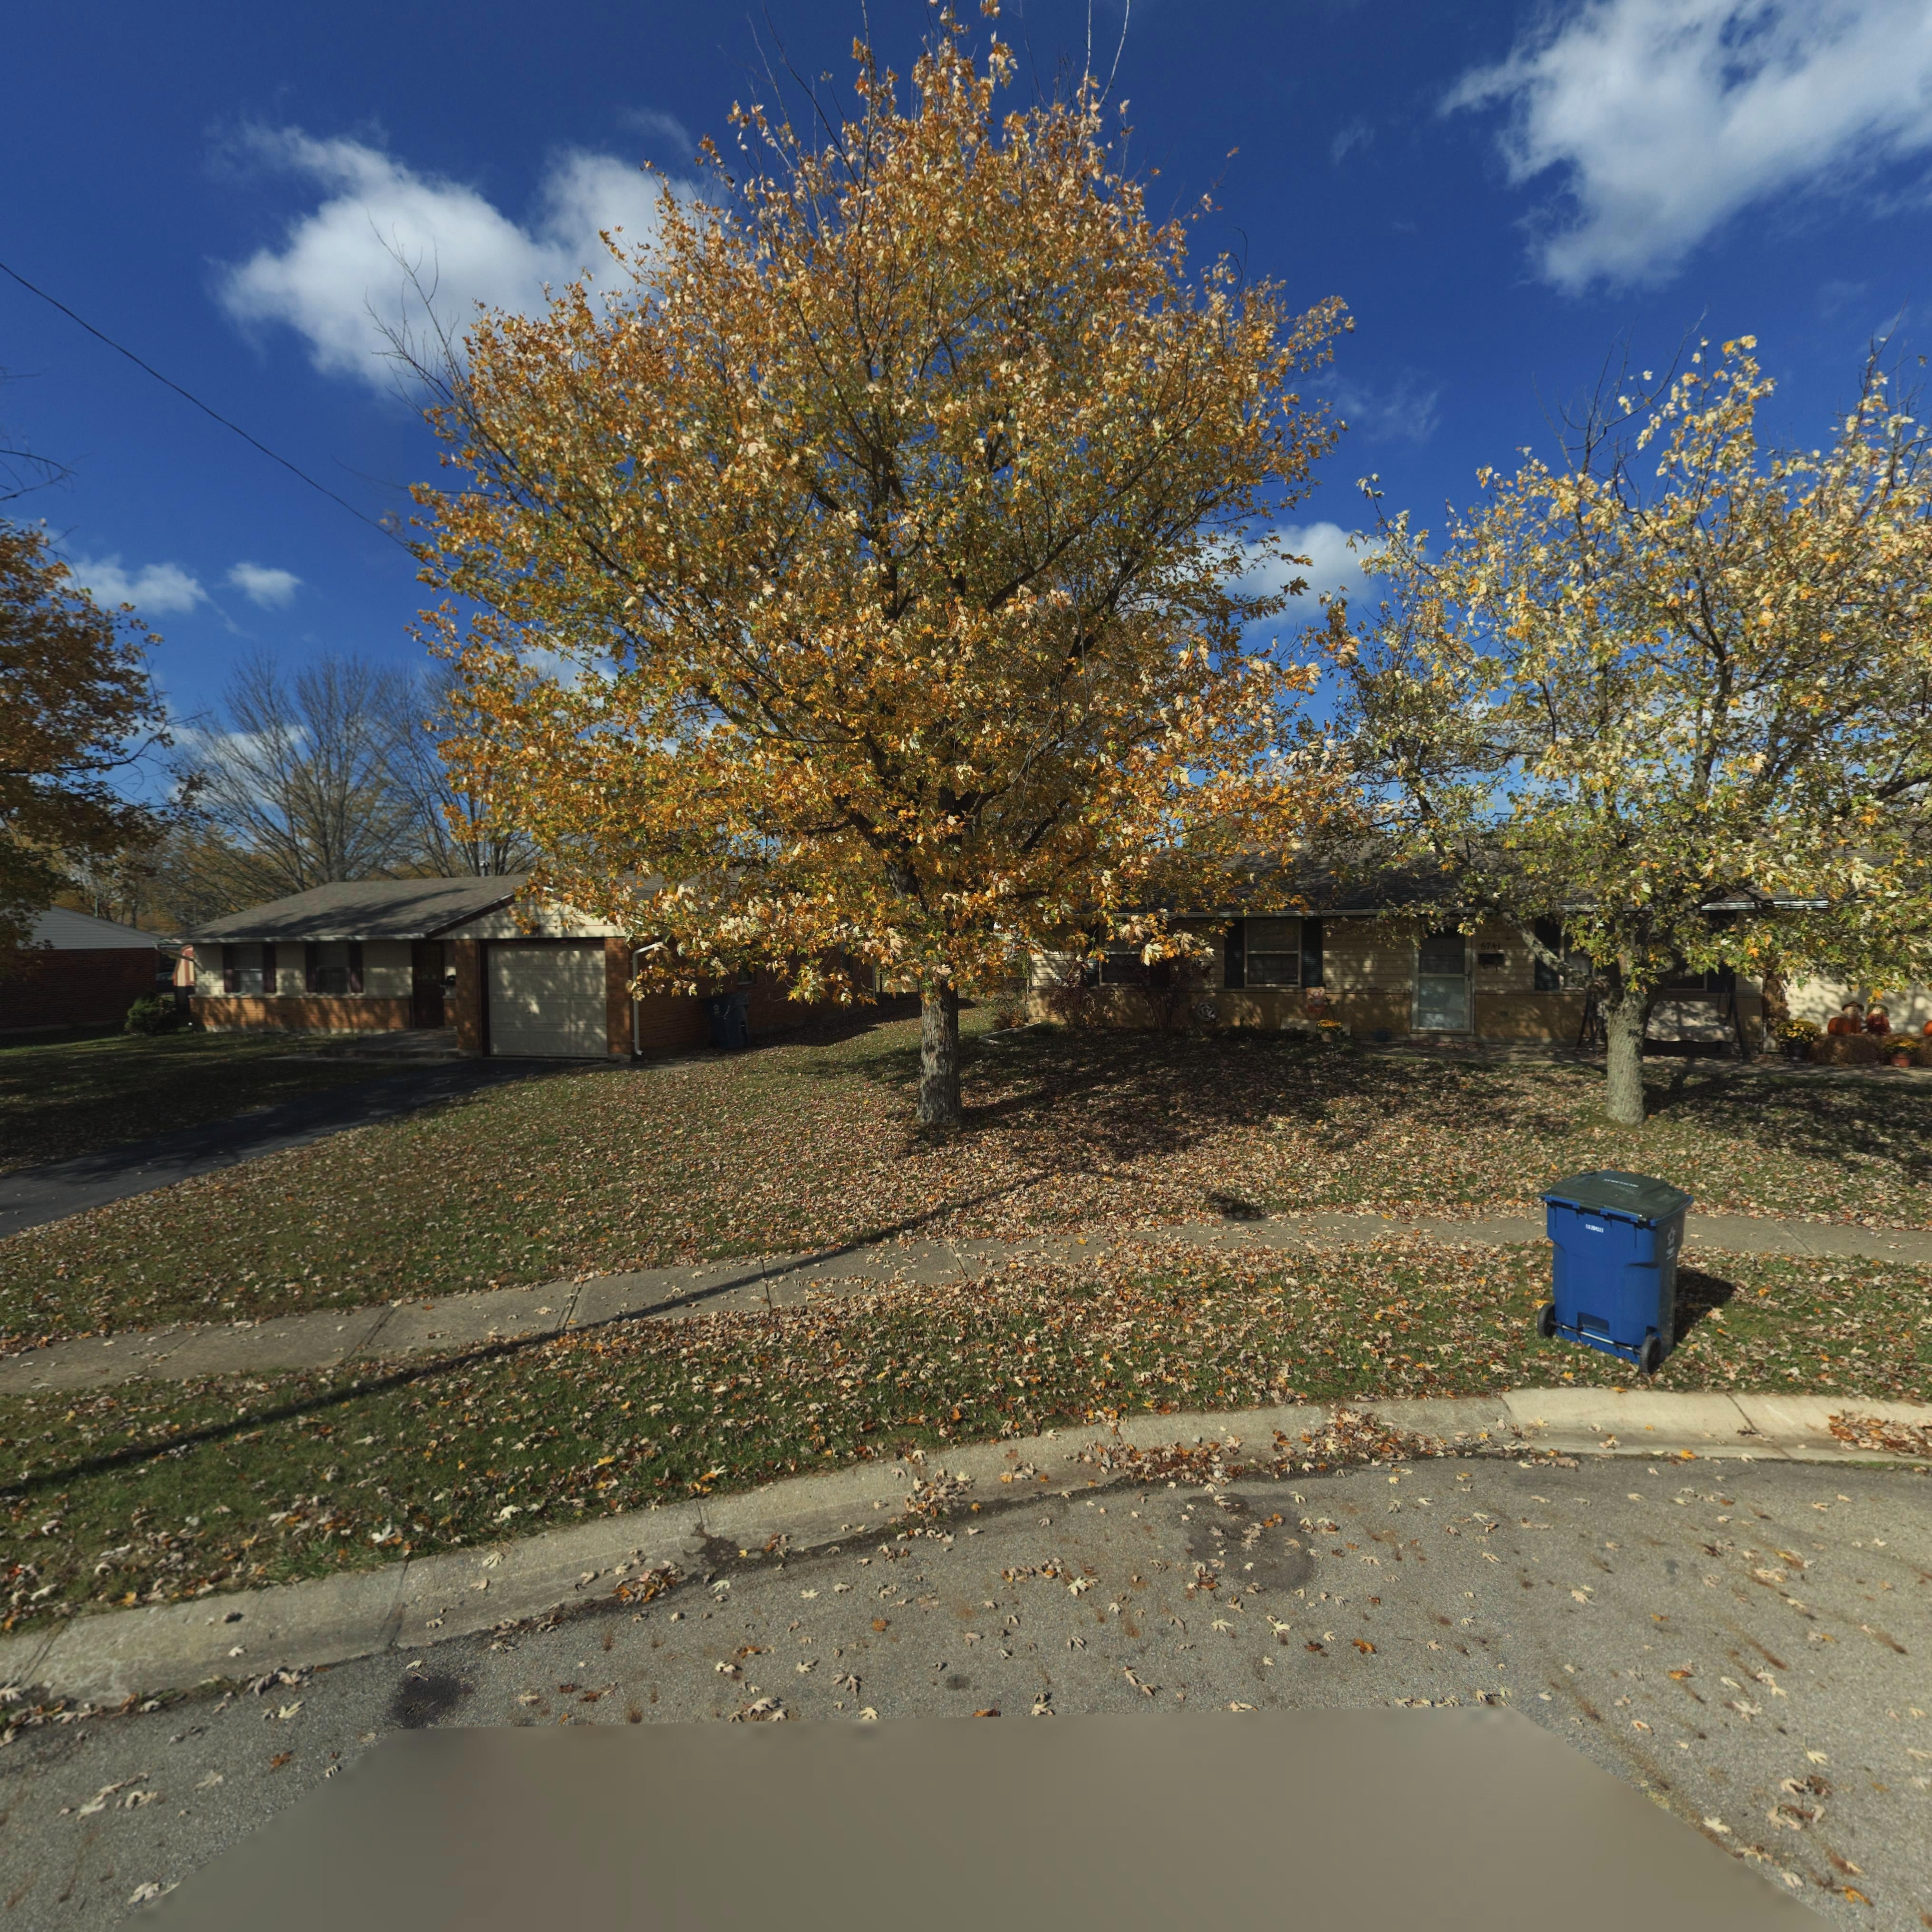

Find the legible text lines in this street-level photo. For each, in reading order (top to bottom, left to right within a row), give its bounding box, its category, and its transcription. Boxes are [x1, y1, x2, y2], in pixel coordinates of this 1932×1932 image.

[1480, 941, 1501, 950] StreetNumber: 6741